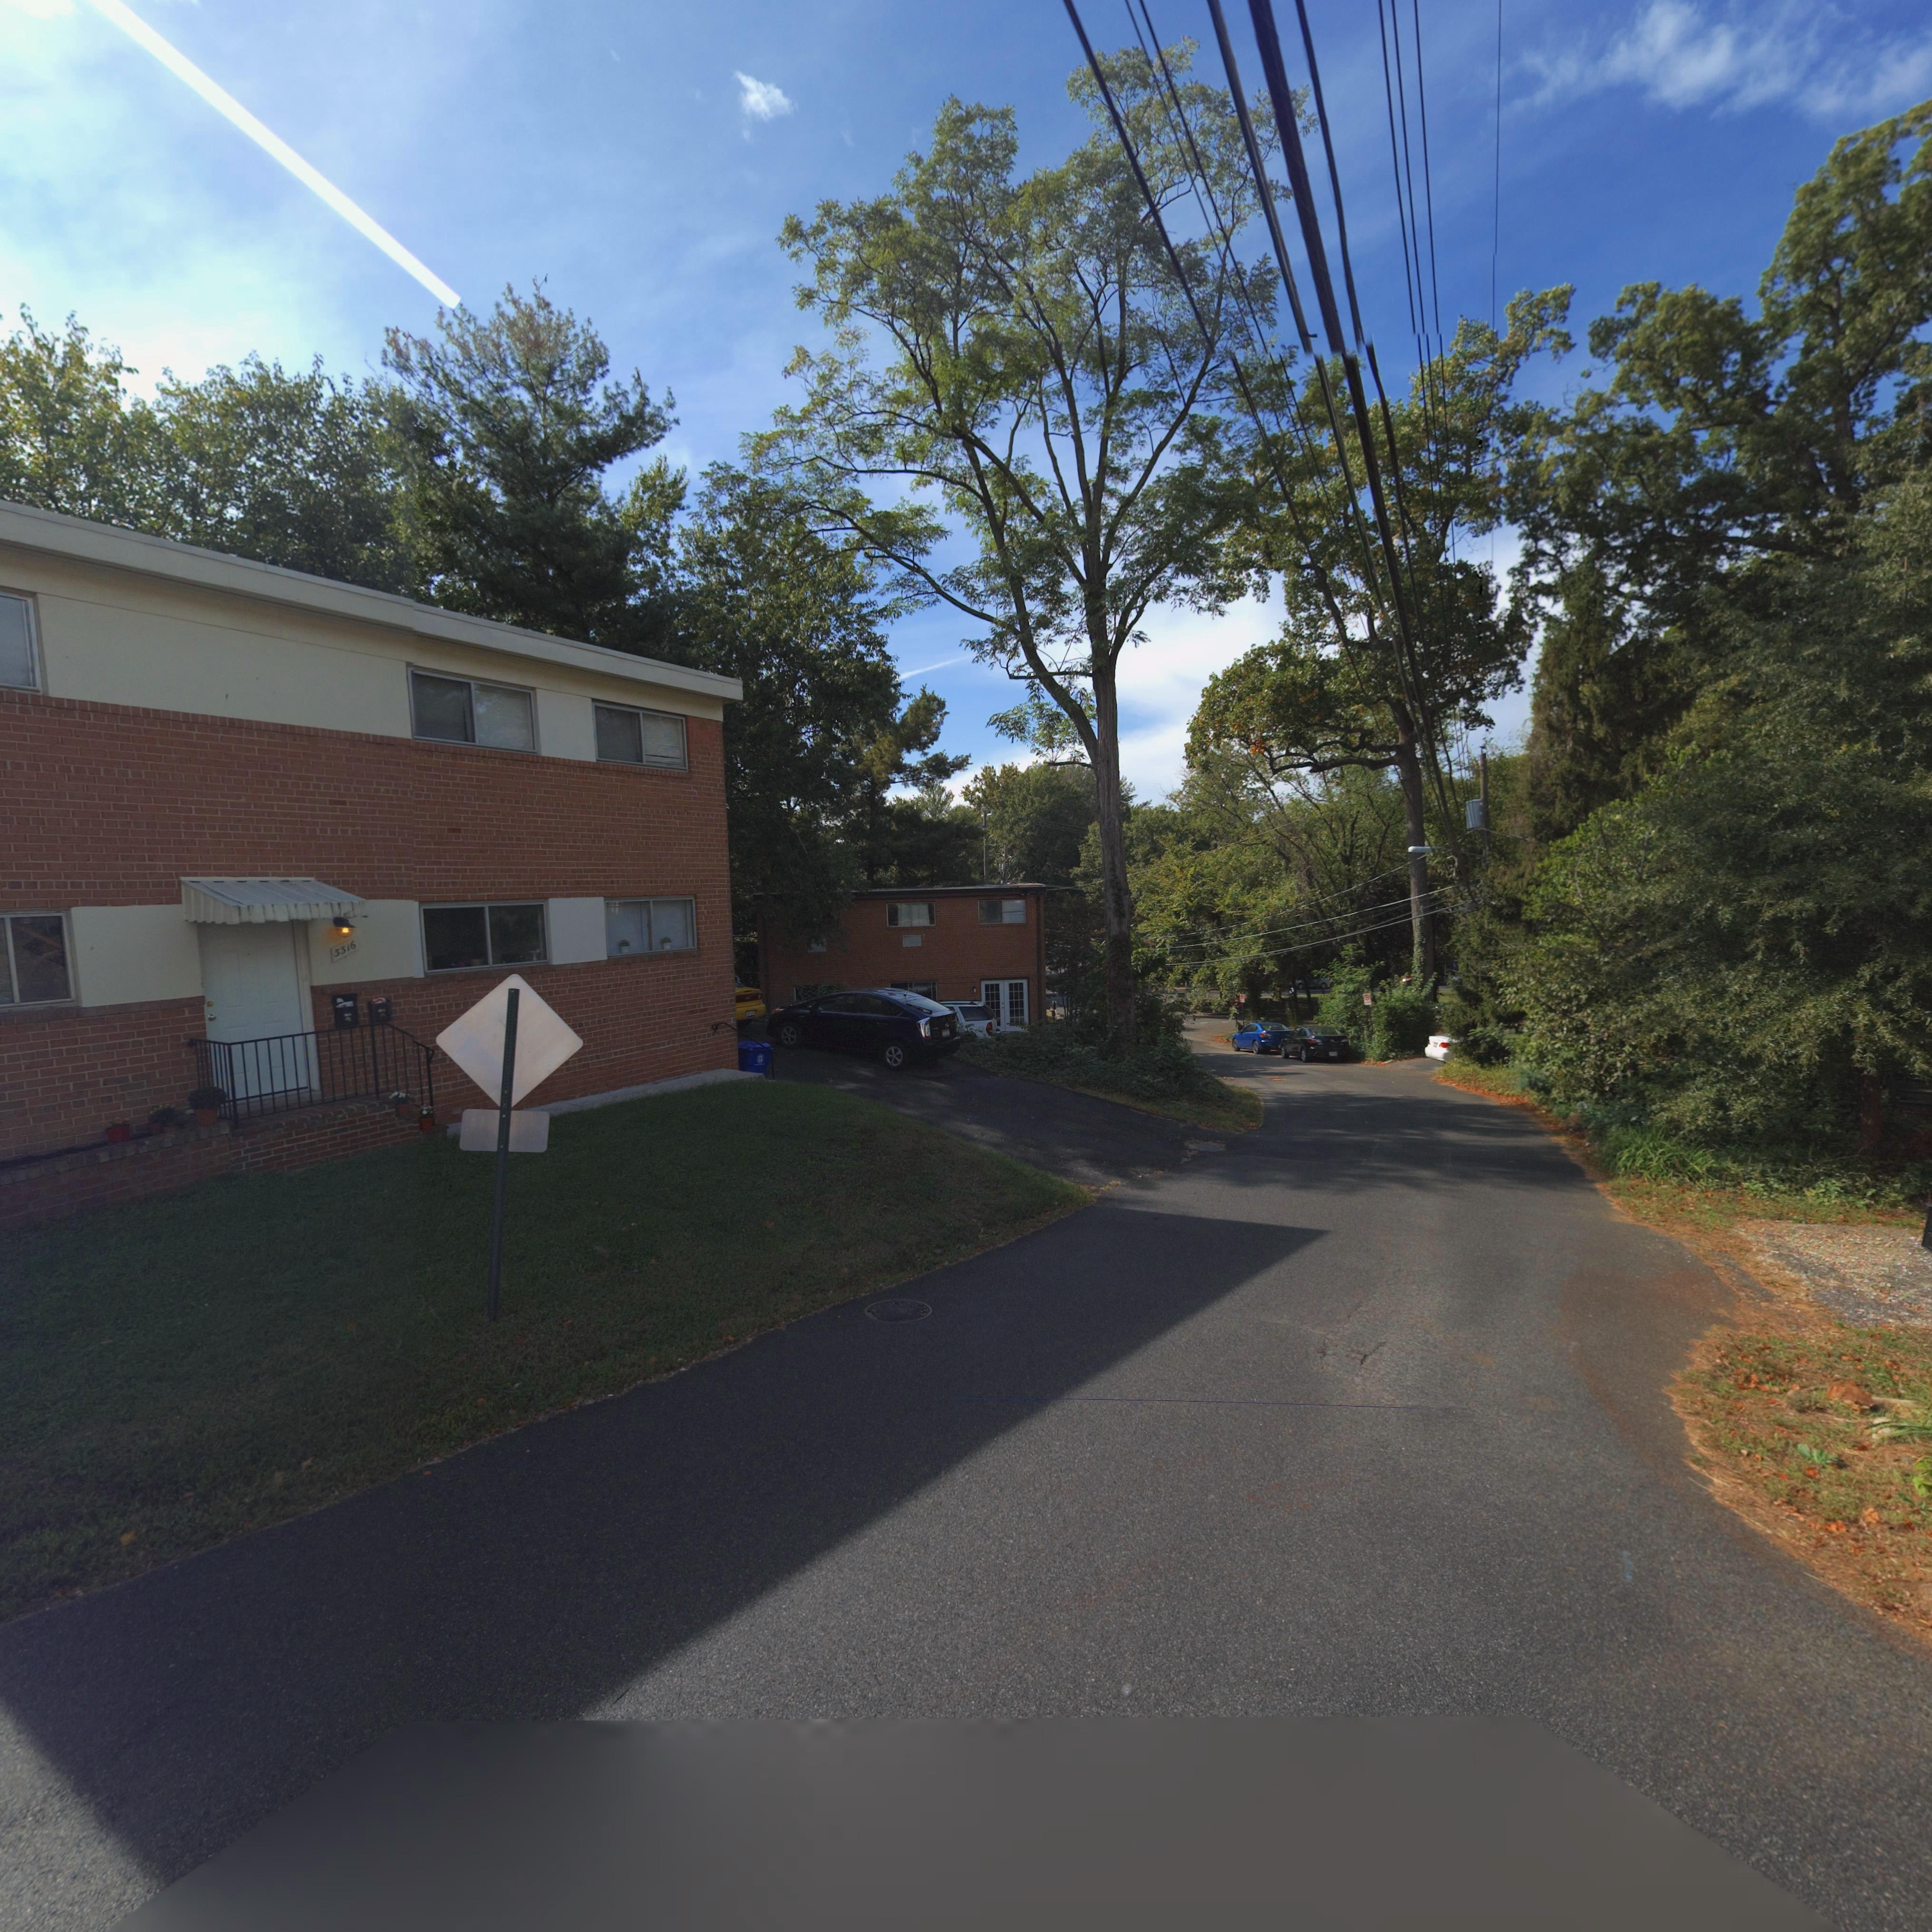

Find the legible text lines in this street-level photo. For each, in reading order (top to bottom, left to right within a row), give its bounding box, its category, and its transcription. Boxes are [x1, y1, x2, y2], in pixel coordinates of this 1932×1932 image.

[333, 937, 357, 958] StreetNumber: 3316